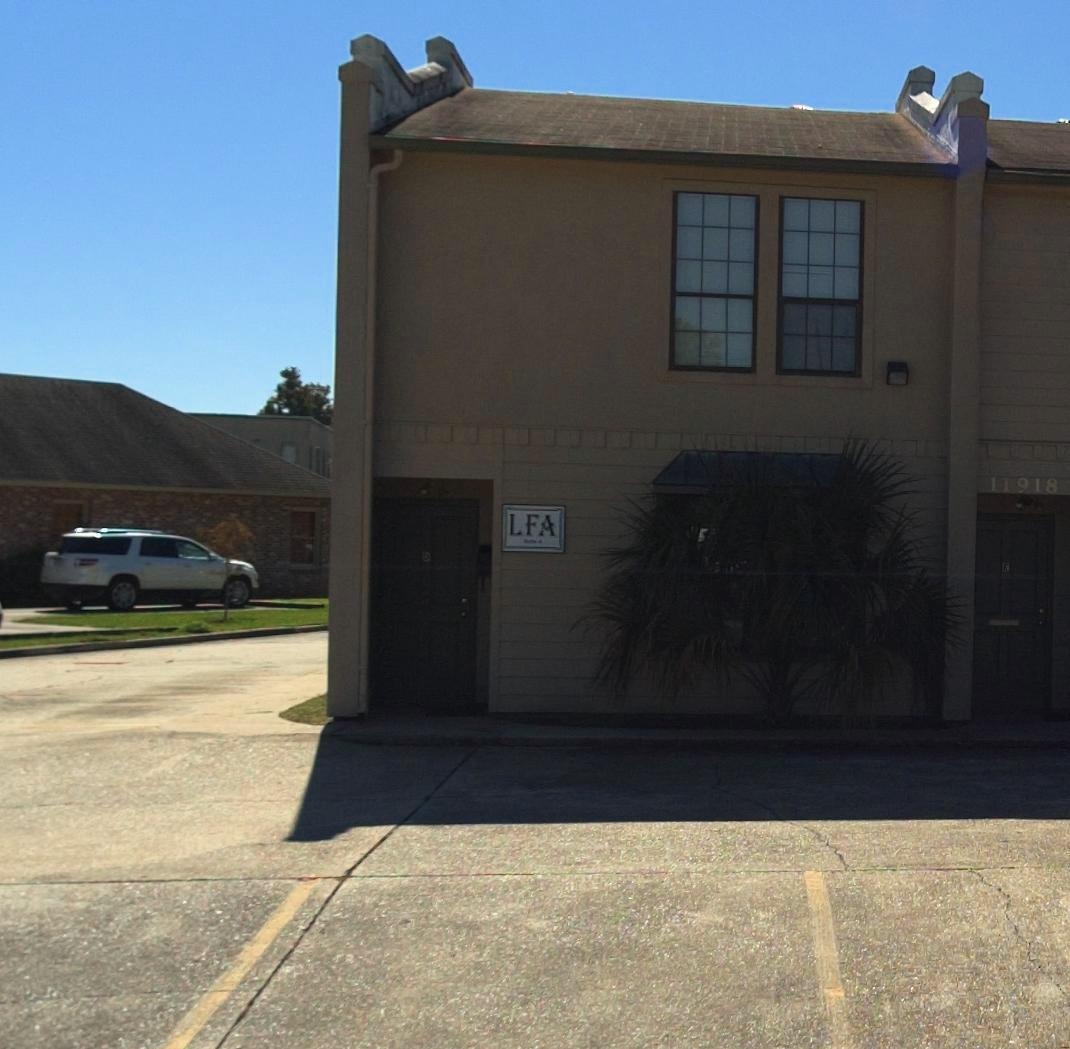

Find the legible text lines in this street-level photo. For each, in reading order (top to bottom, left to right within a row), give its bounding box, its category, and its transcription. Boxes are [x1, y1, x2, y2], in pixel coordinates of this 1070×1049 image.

[987, 474, 1061, 497] StreetNumber: 11918
[505, 510, 560, 540] BusinessName: LFA